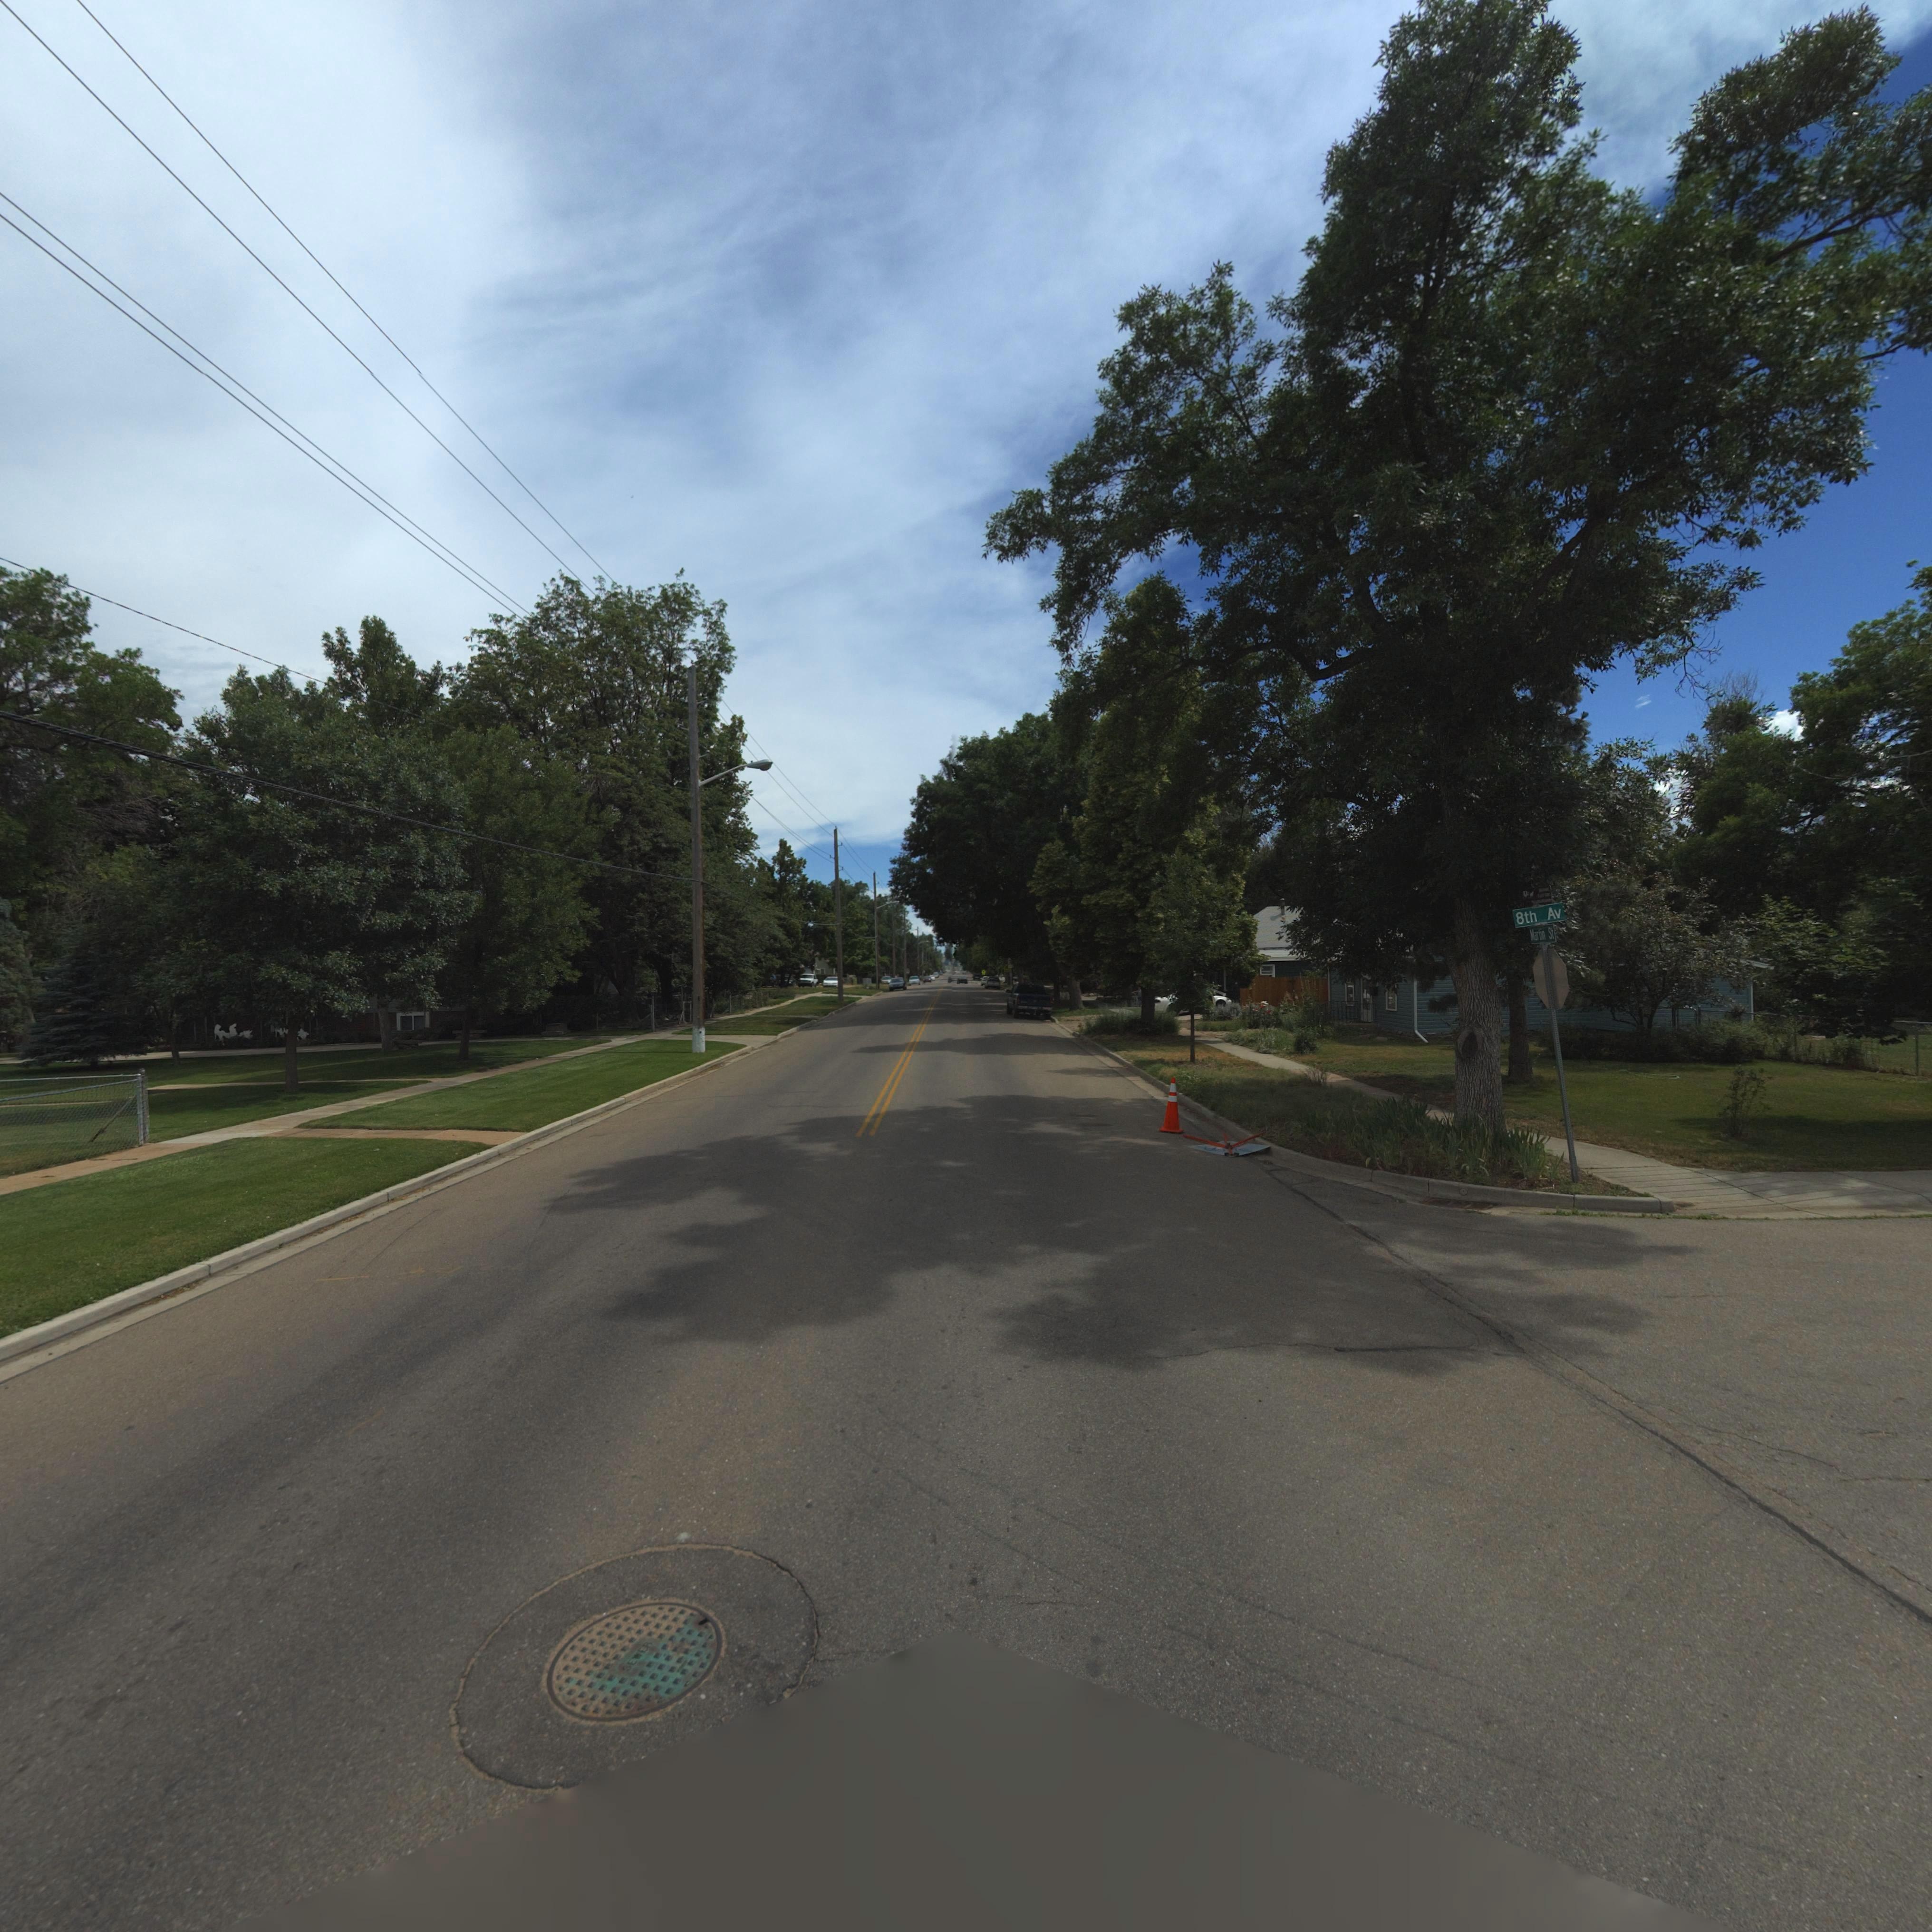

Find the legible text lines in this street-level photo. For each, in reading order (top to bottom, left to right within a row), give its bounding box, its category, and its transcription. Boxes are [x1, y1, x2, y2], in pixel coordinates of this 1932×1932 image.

[1515, 905, 1563, 925] StreetName: 8th Av
[1529, 927, 1555, 942] StreetName: Martin St